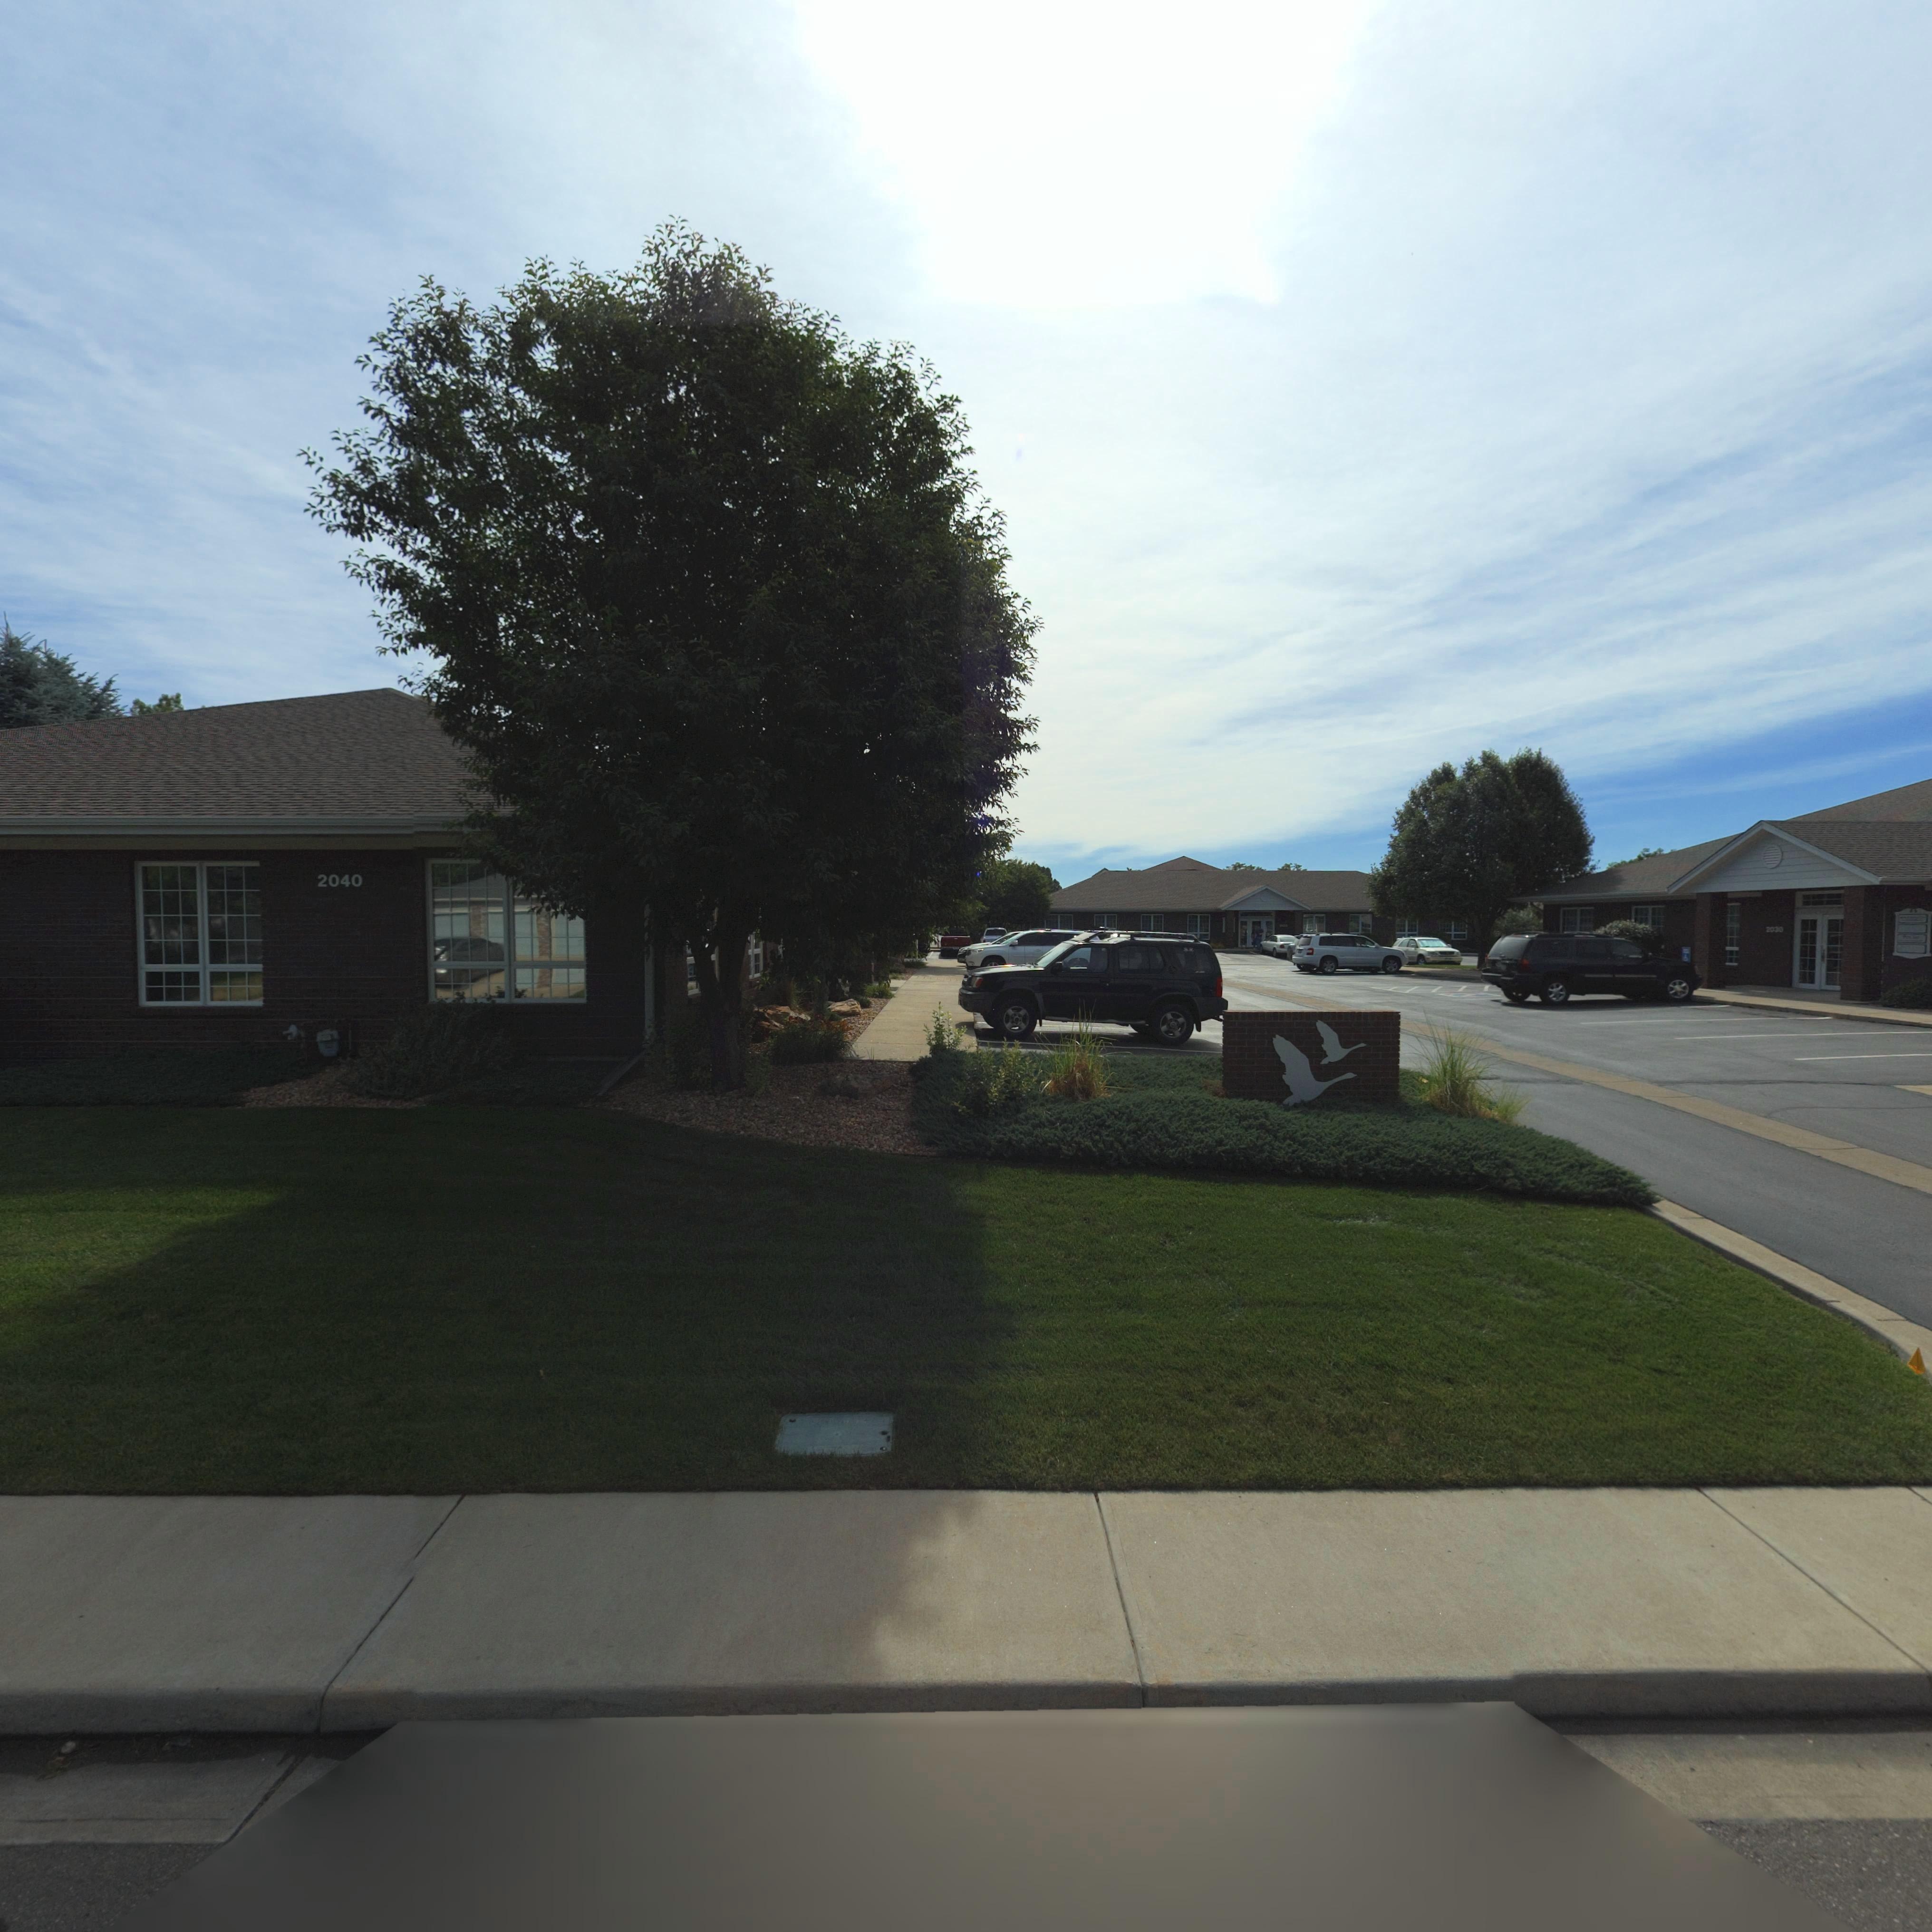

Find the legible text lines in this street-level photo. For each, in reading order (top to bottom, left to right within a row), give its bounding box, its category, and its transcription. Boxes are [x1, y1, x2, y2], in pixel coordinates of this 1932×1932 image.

[317, 874, 362, 888] StreetNumber: 2040
[1765, 926, 1784, 933] StreetNumber: 2030